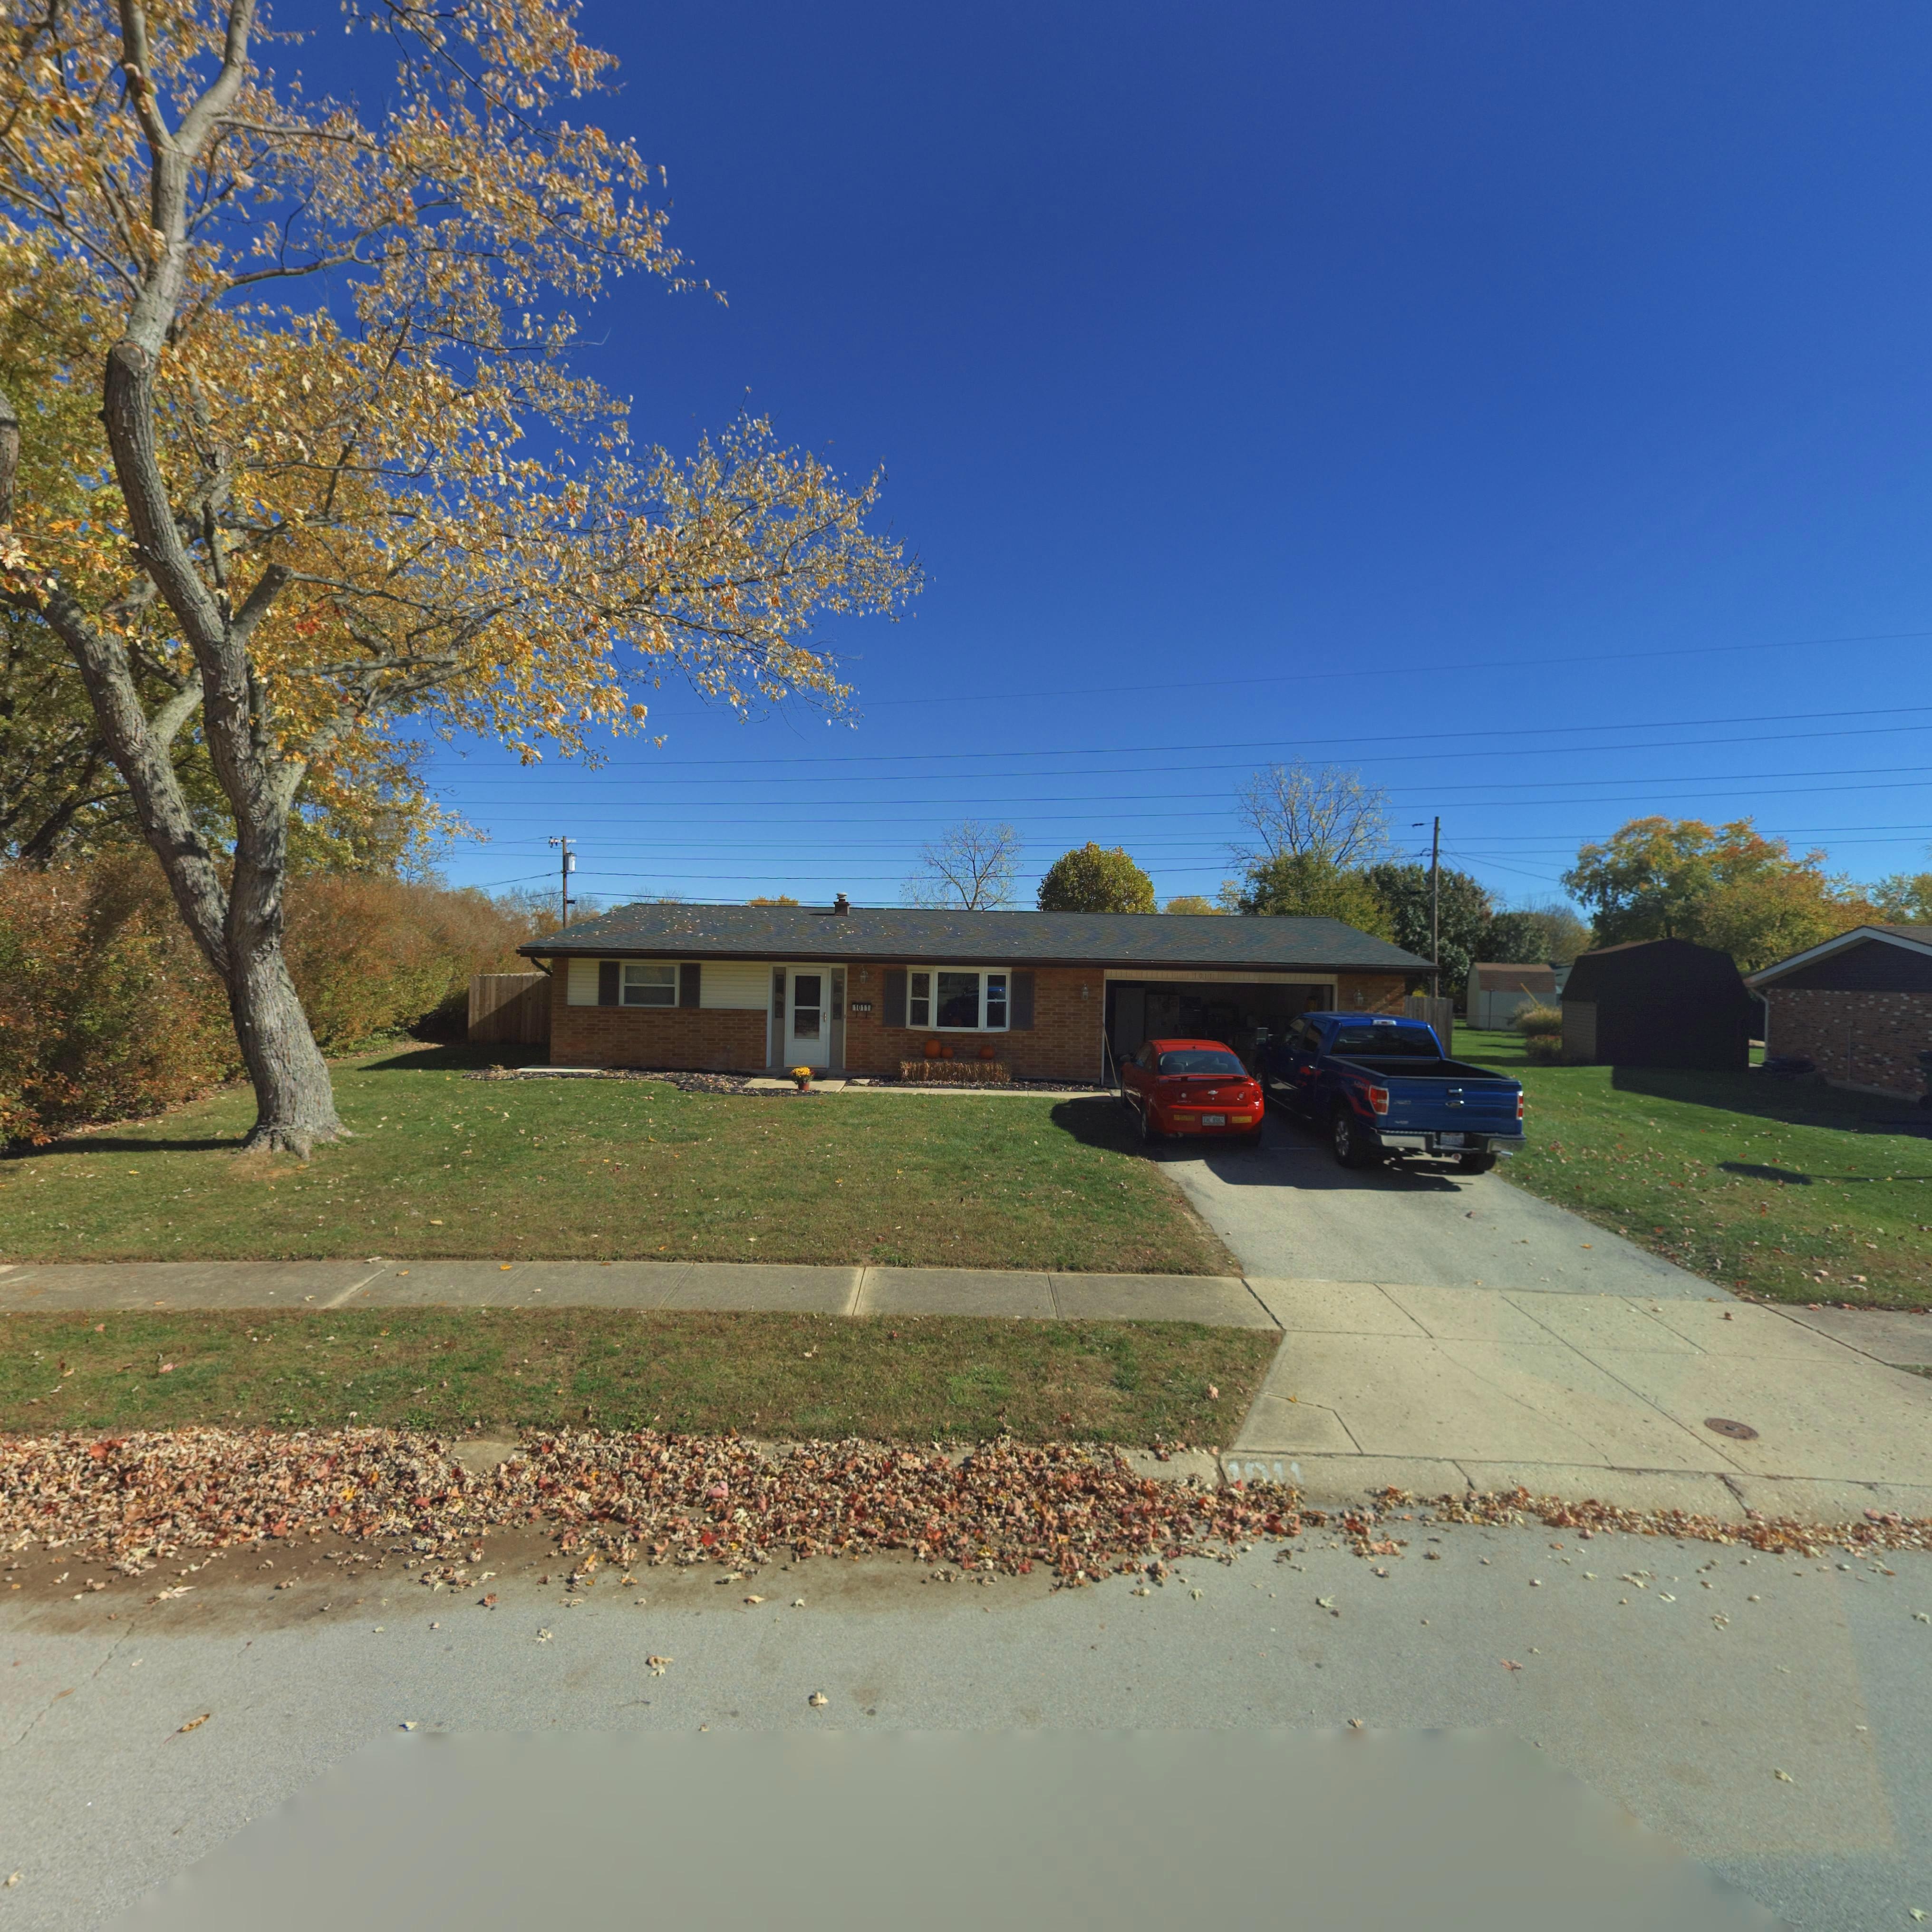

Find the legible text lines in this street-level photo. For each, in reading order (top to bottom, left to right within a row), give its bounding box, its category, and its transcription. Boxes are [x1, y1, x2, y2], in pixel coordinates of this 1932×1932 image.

[1194, 972, 1212, 980] StreetNumber: 1011
[854, 1004, 869, 1011] StreetNumber: 1011
[1226, 1460, 1309, 1491] StreetNumber: 1011